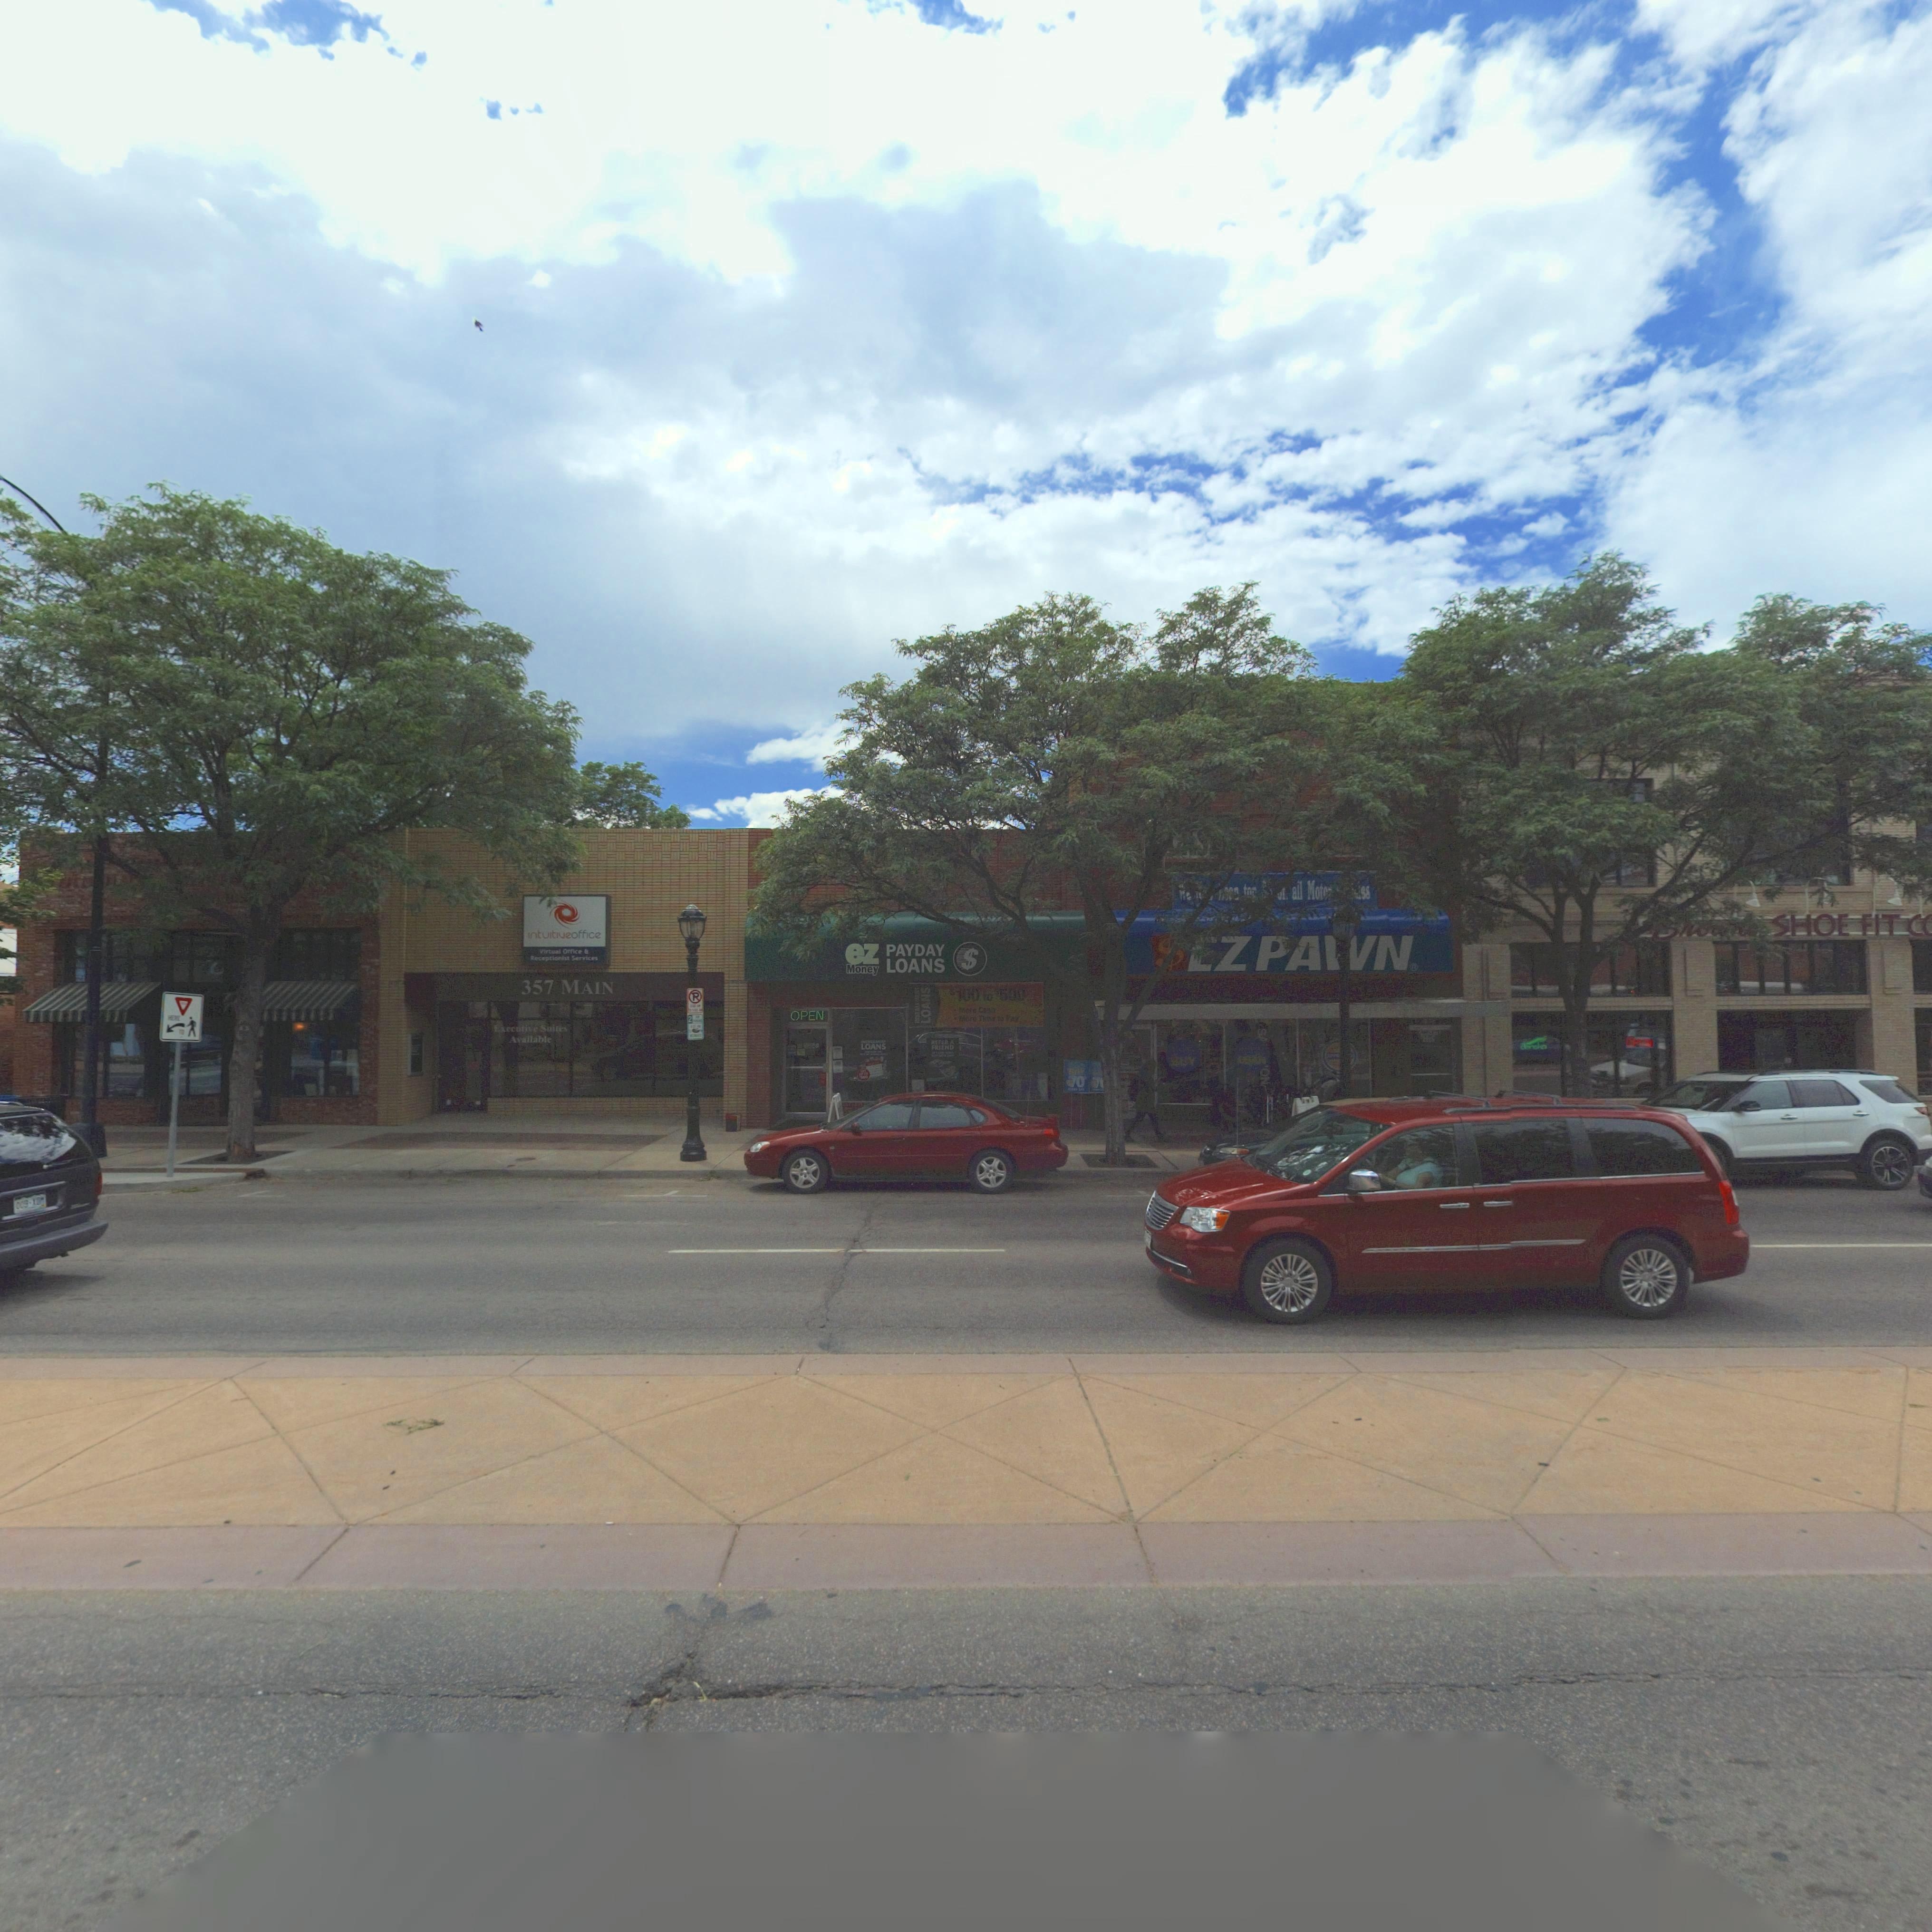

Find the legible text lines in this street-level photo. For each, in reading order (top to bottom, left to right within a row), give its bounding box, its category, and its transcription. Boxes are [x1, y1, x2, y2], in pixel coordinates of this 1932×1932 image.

[528, 929, 602, 939] BusinessName: intuitiveoffice
[1650, 910, 1926, 942] BusinessName: ****** SHOW FIT C*
[844, 942, 879, 965] BusinessName: ez
[886, 943, 946, 957] BusinessName: PAYDAY
[1185, 934, 1414, 972] BusinessName: EZ PAWN
[846, 964, 879, 976] BusinessName: Money
[886, 957, 945, 974] BusinessName: LOANS
[521, 979, 554, 995] StreetNumber: 357
[560, 978, 614, 995] StreetName: MAIN